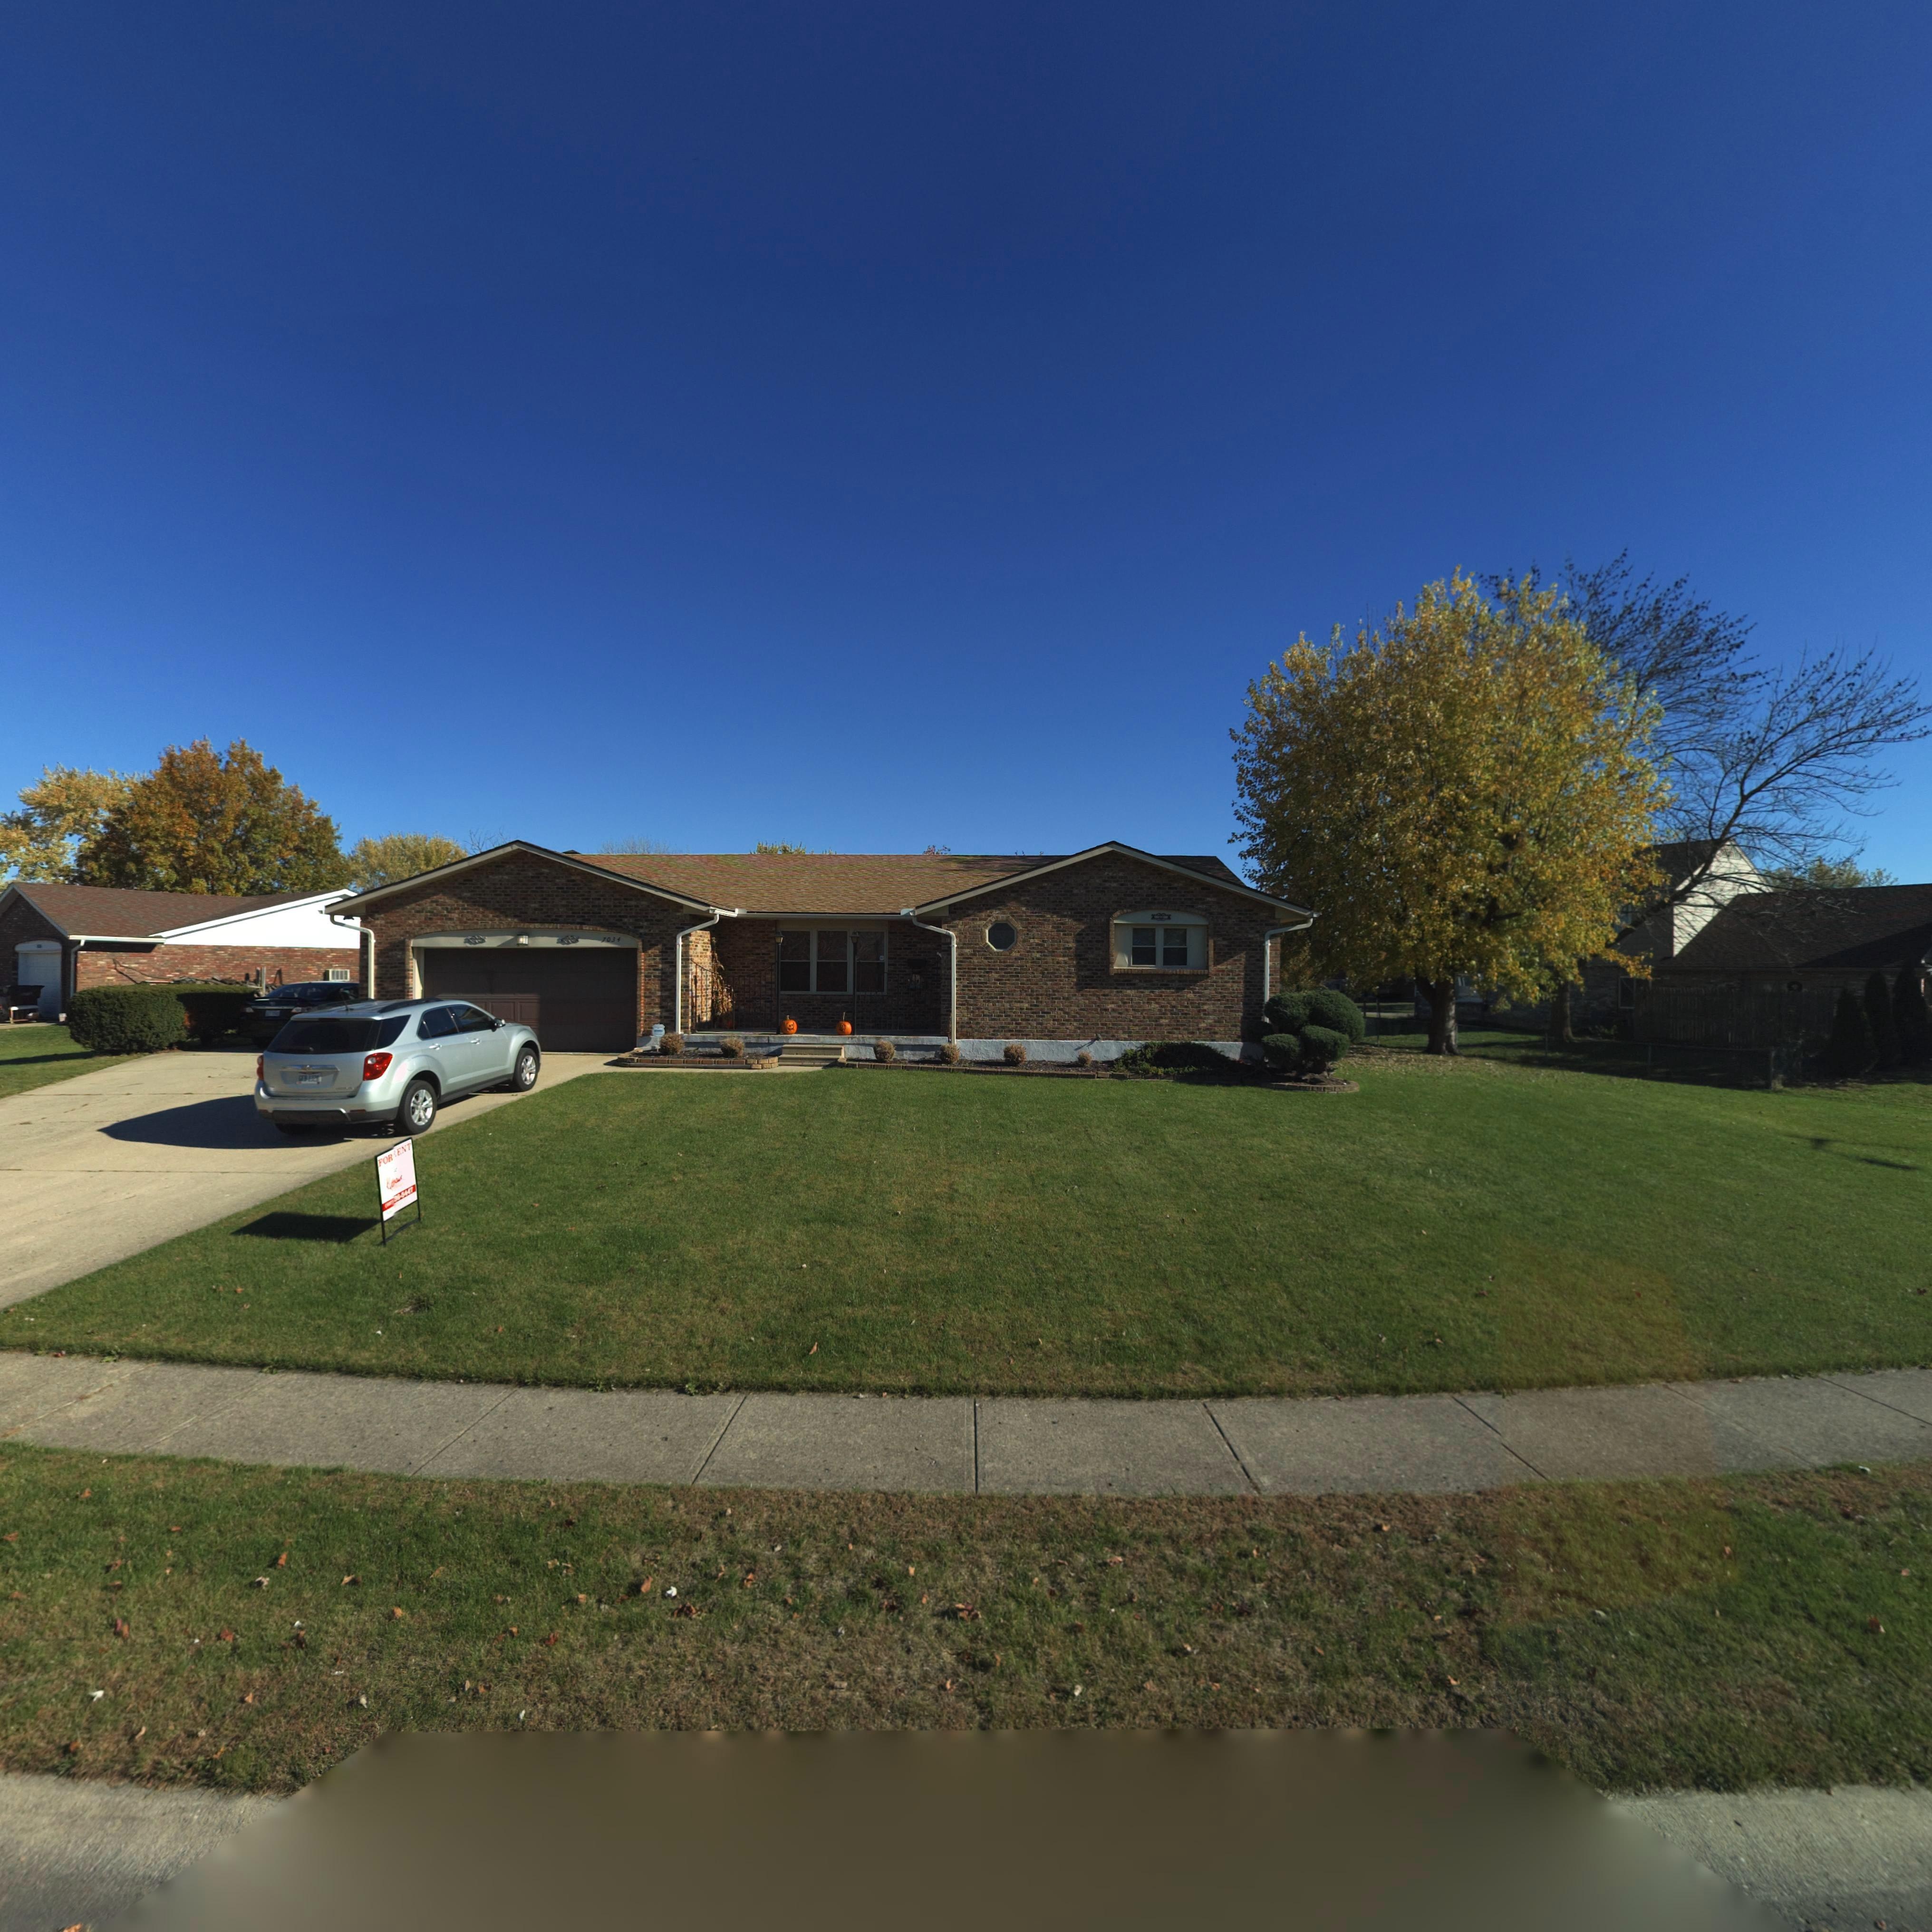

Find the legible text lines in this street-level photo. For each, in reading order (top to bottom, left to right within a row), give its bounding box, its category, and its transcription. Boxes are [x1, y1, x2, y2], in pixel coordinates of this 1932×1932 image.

[600, 937, 621, 943] StreetNumber: 7034